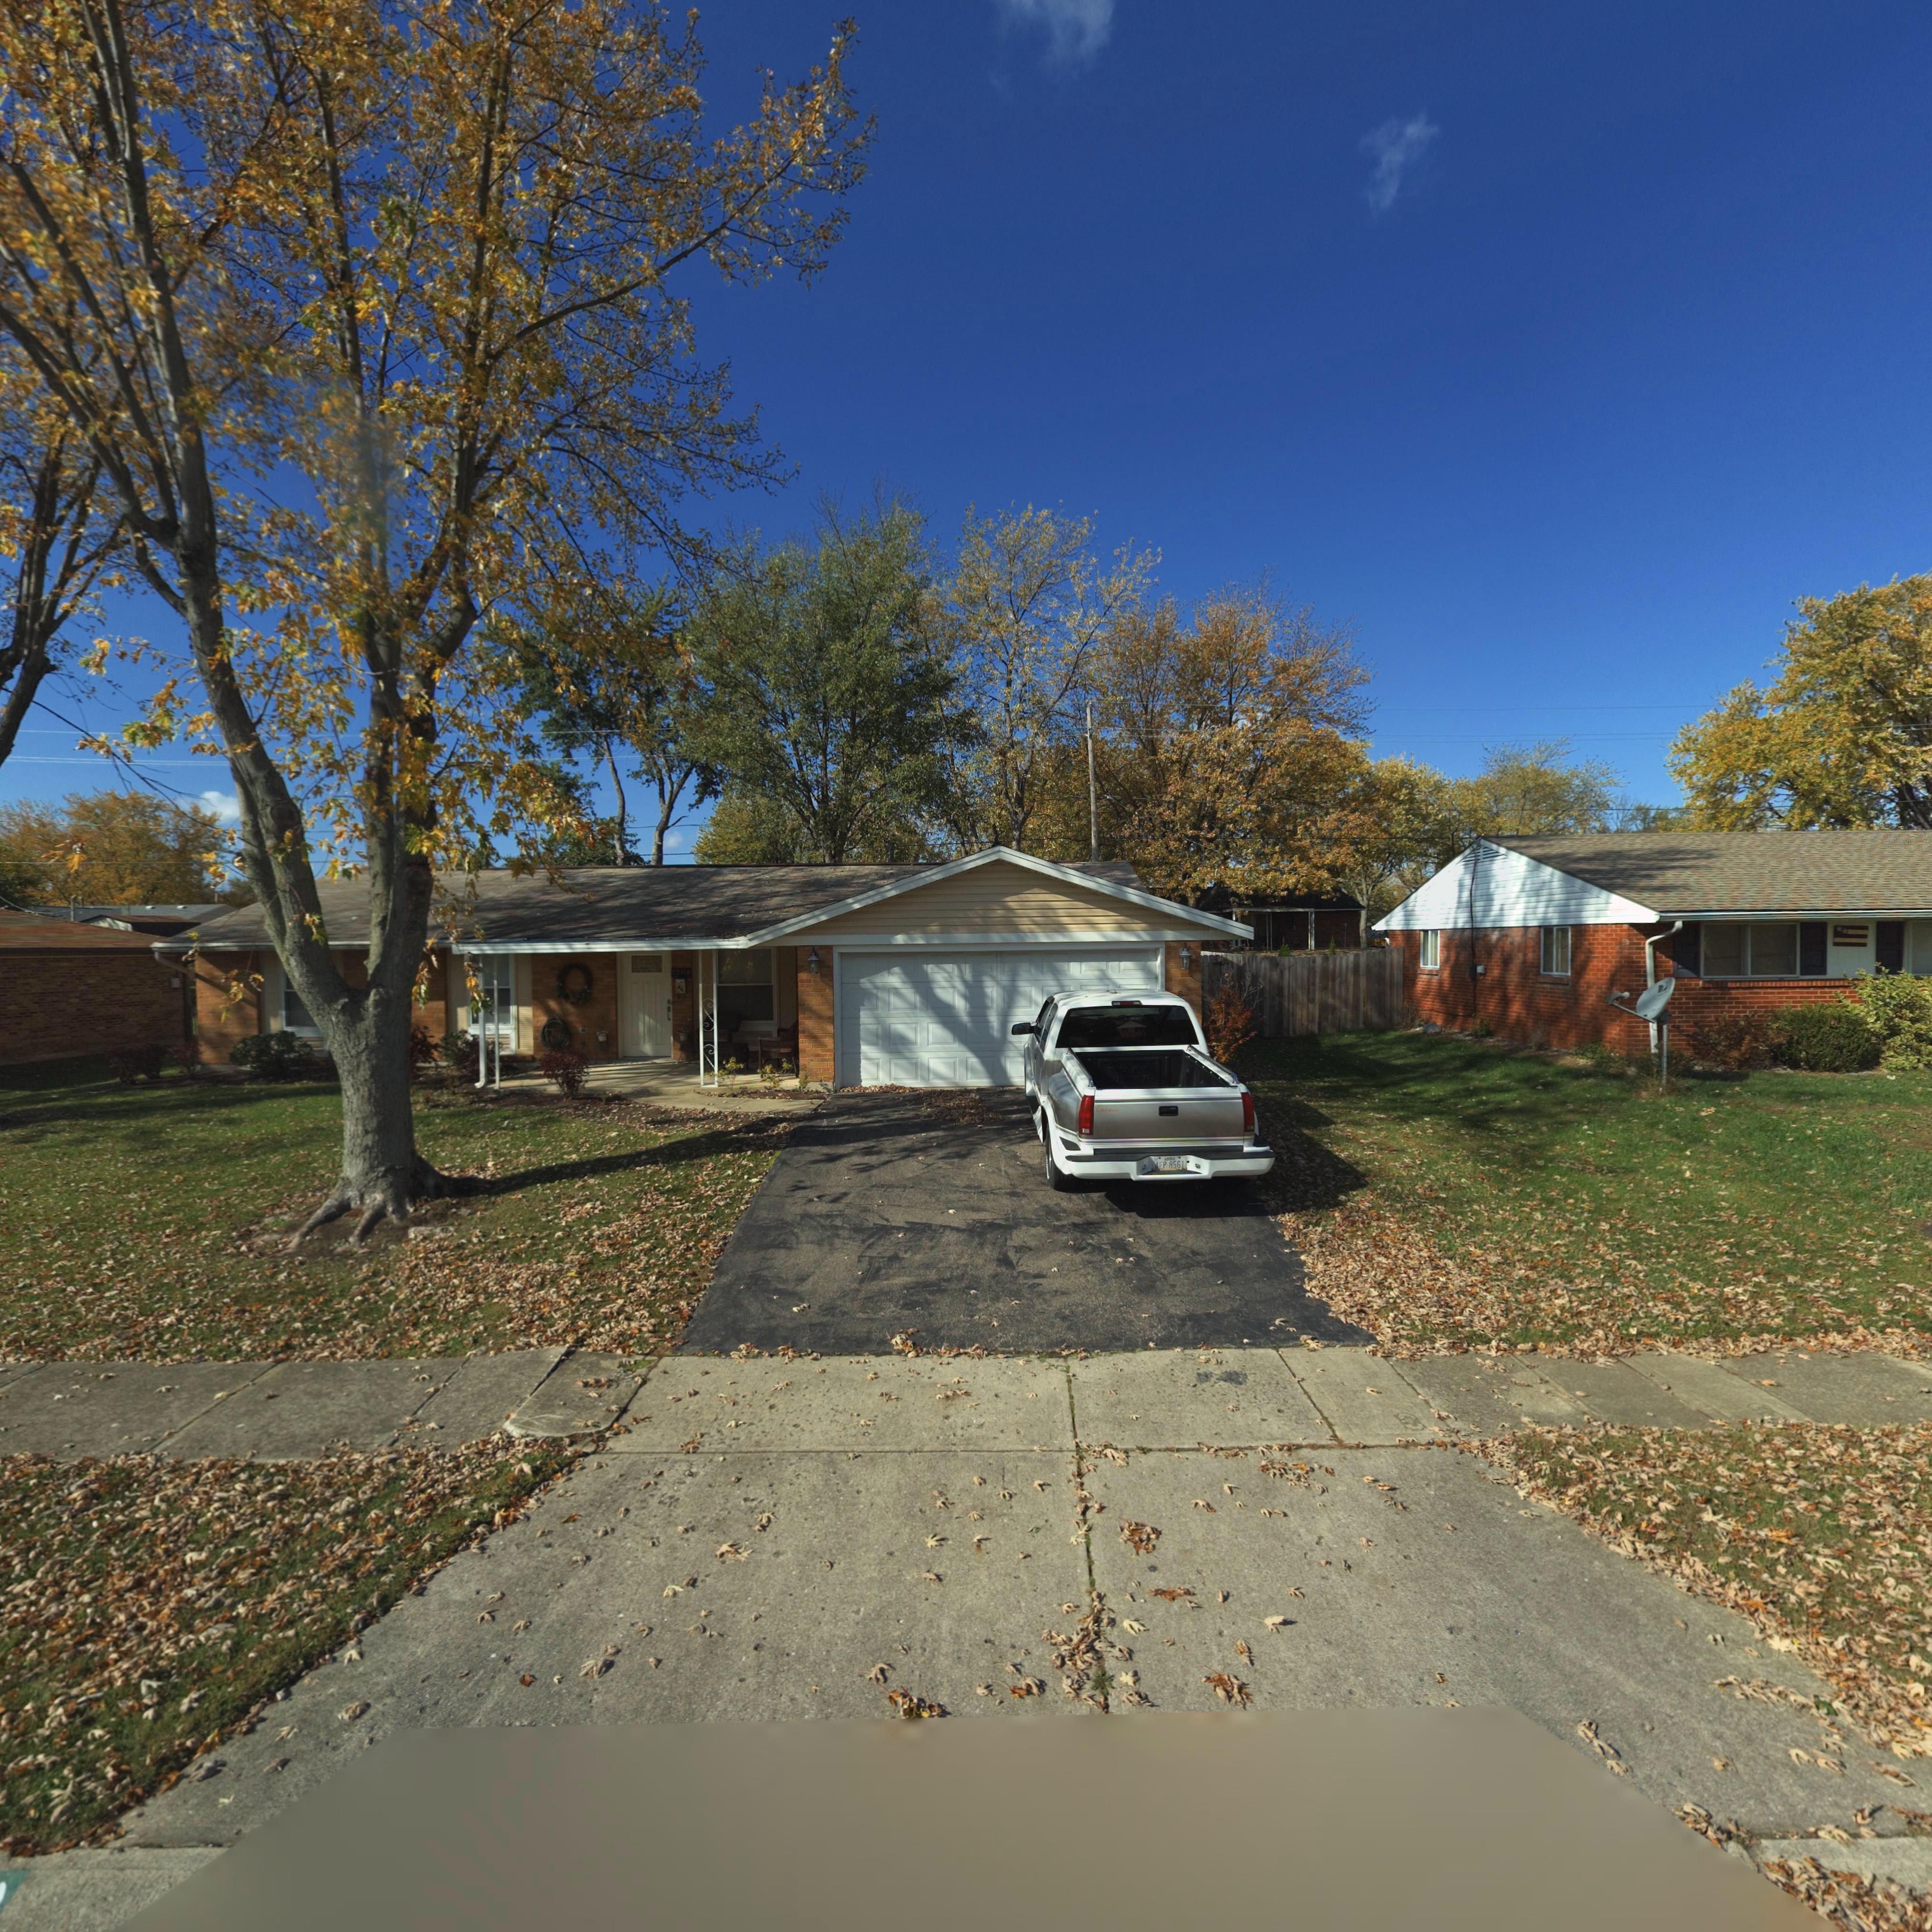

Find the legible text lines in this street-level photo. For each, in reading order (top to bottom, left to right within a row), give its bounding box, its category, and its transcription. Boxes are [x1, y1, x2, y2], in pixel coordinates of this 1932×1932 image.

[670, 968, 692, 977] StreetNumber: *7**